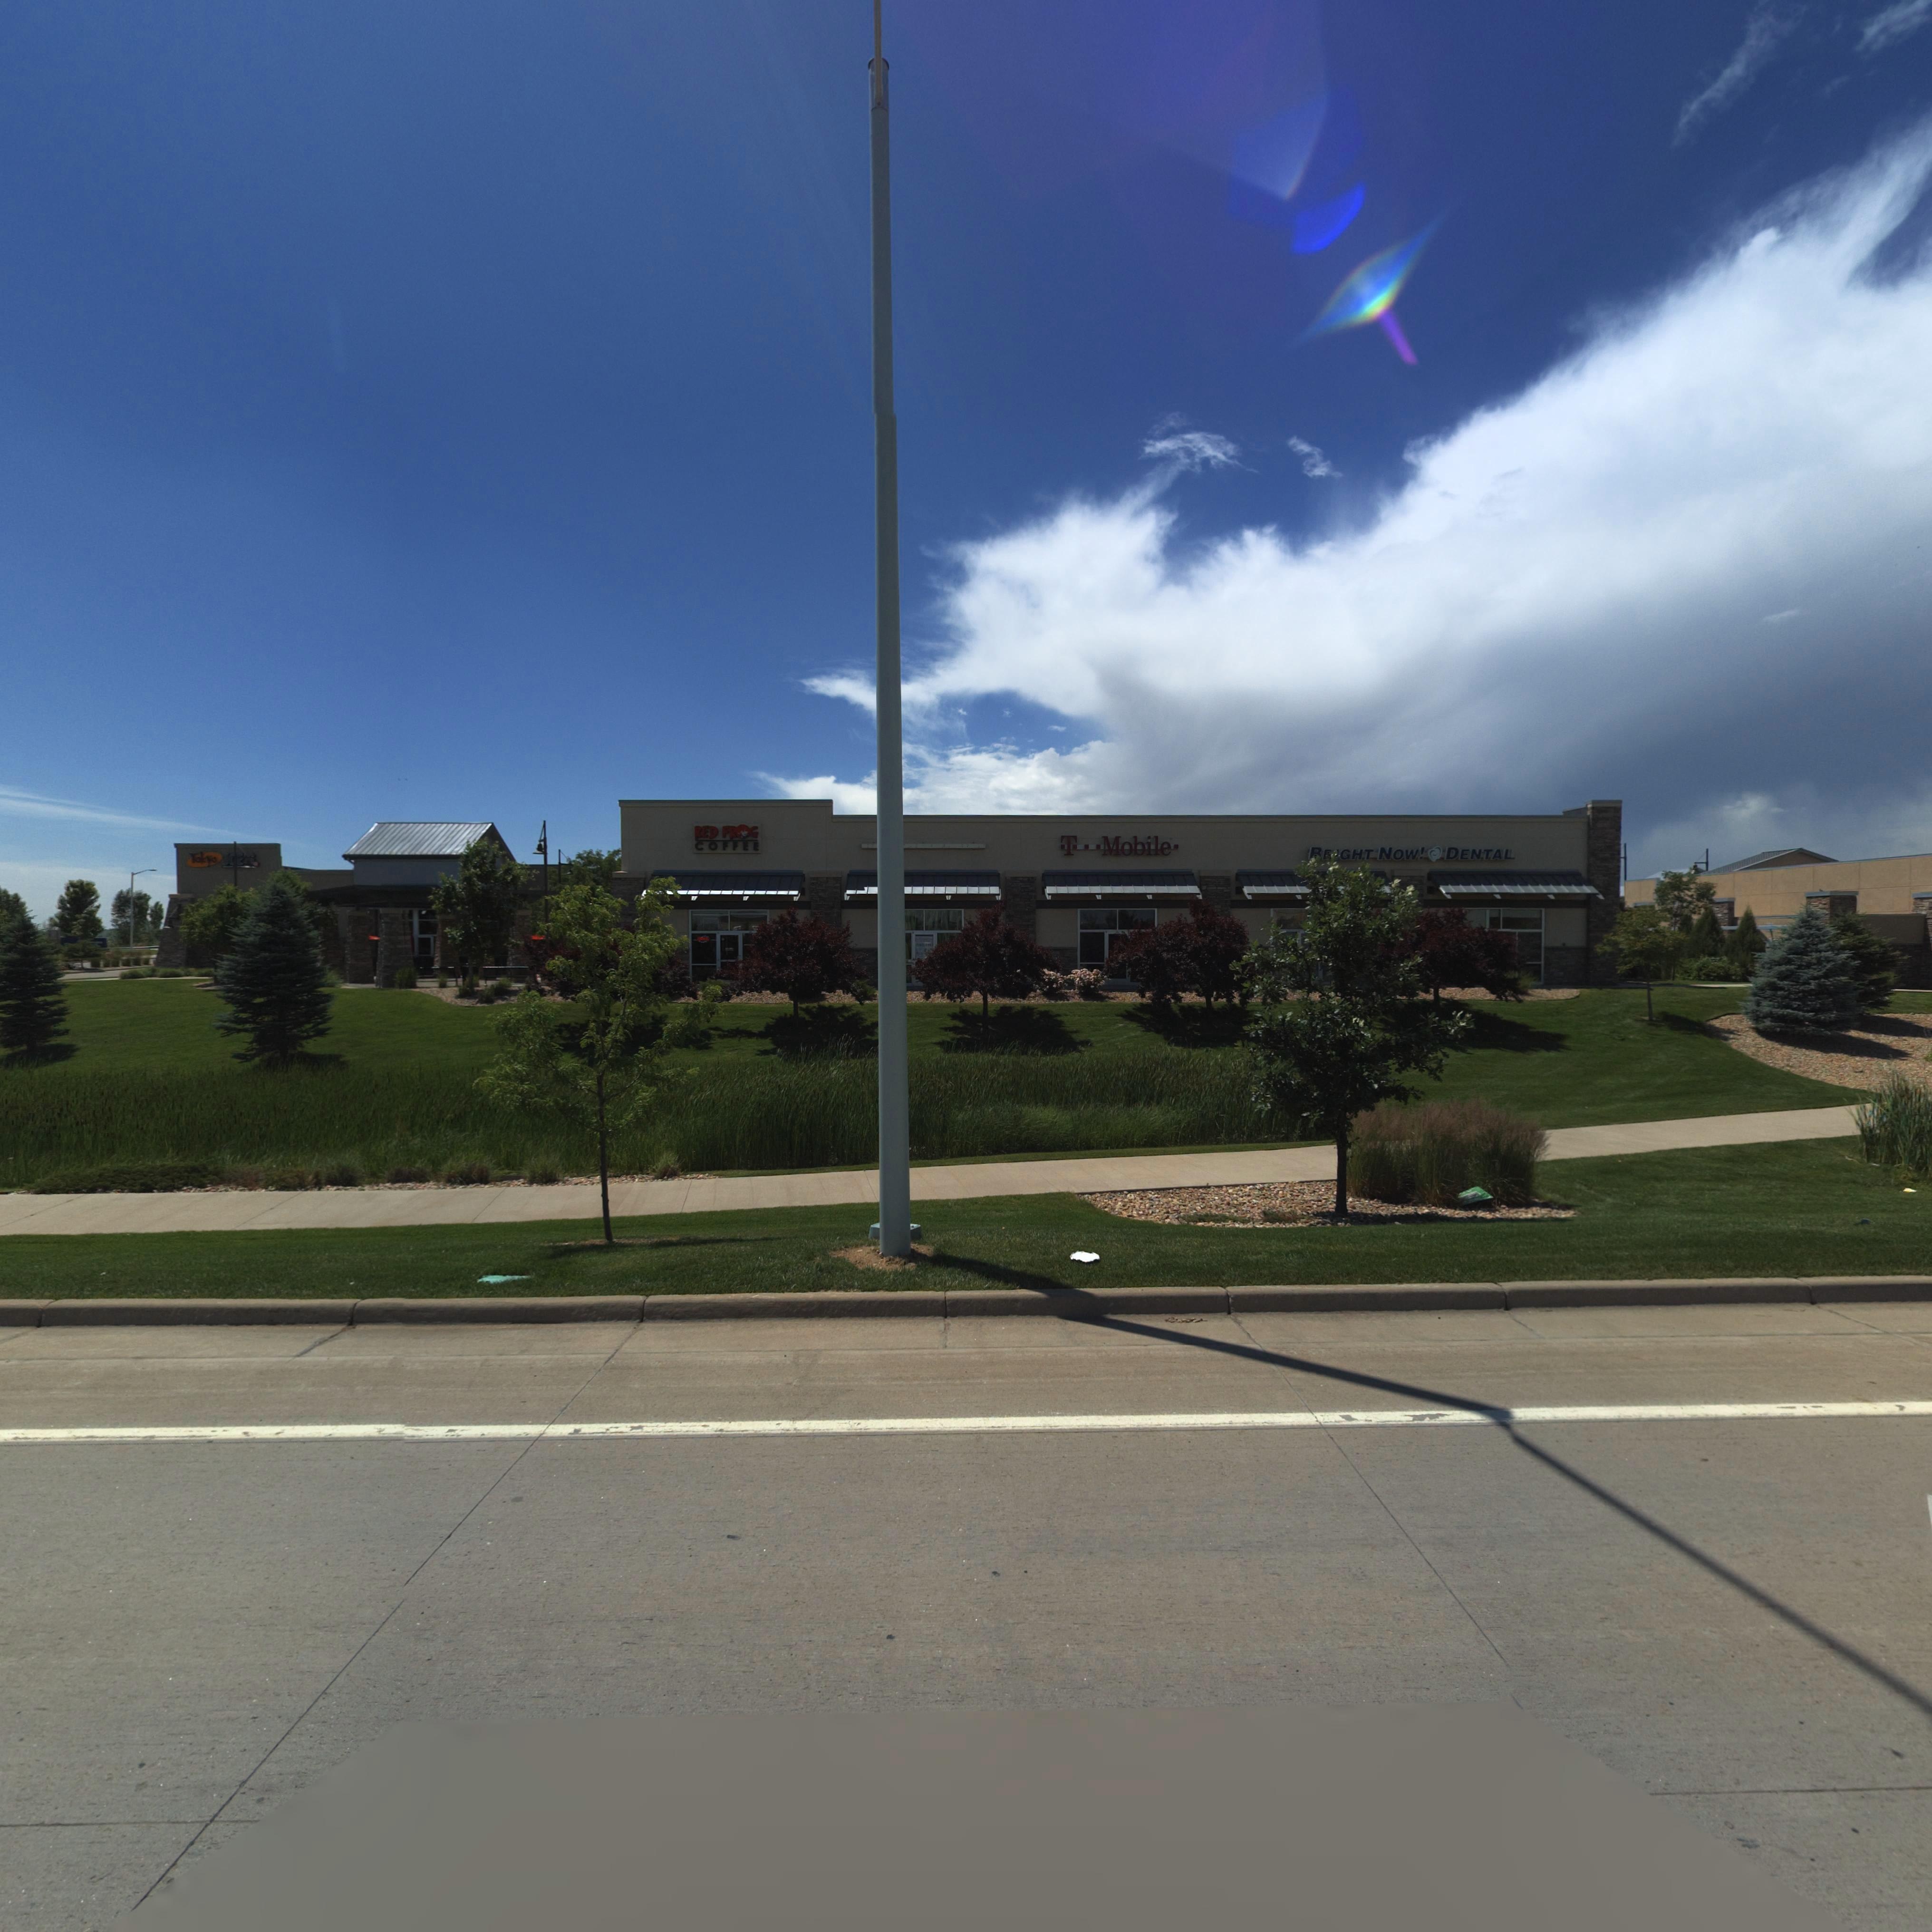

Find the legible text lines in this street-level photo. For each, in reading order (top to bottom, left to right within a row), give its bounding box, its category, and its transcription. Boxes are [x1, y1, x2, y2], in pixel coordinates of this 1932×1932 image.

[694, 824, 759, 839] BusinessName: RED FR*G
[694, 840, 760, 851] BusinessName: COFFEE
[1059, 833, 1173, 857] BusinessName: *T***Mobile
[188, 850, 256, 869] BusinessName: Tokyo J*E**
[1308, 846, 1515, 861] BusinessName: ***GHT NOW! * DENTAL